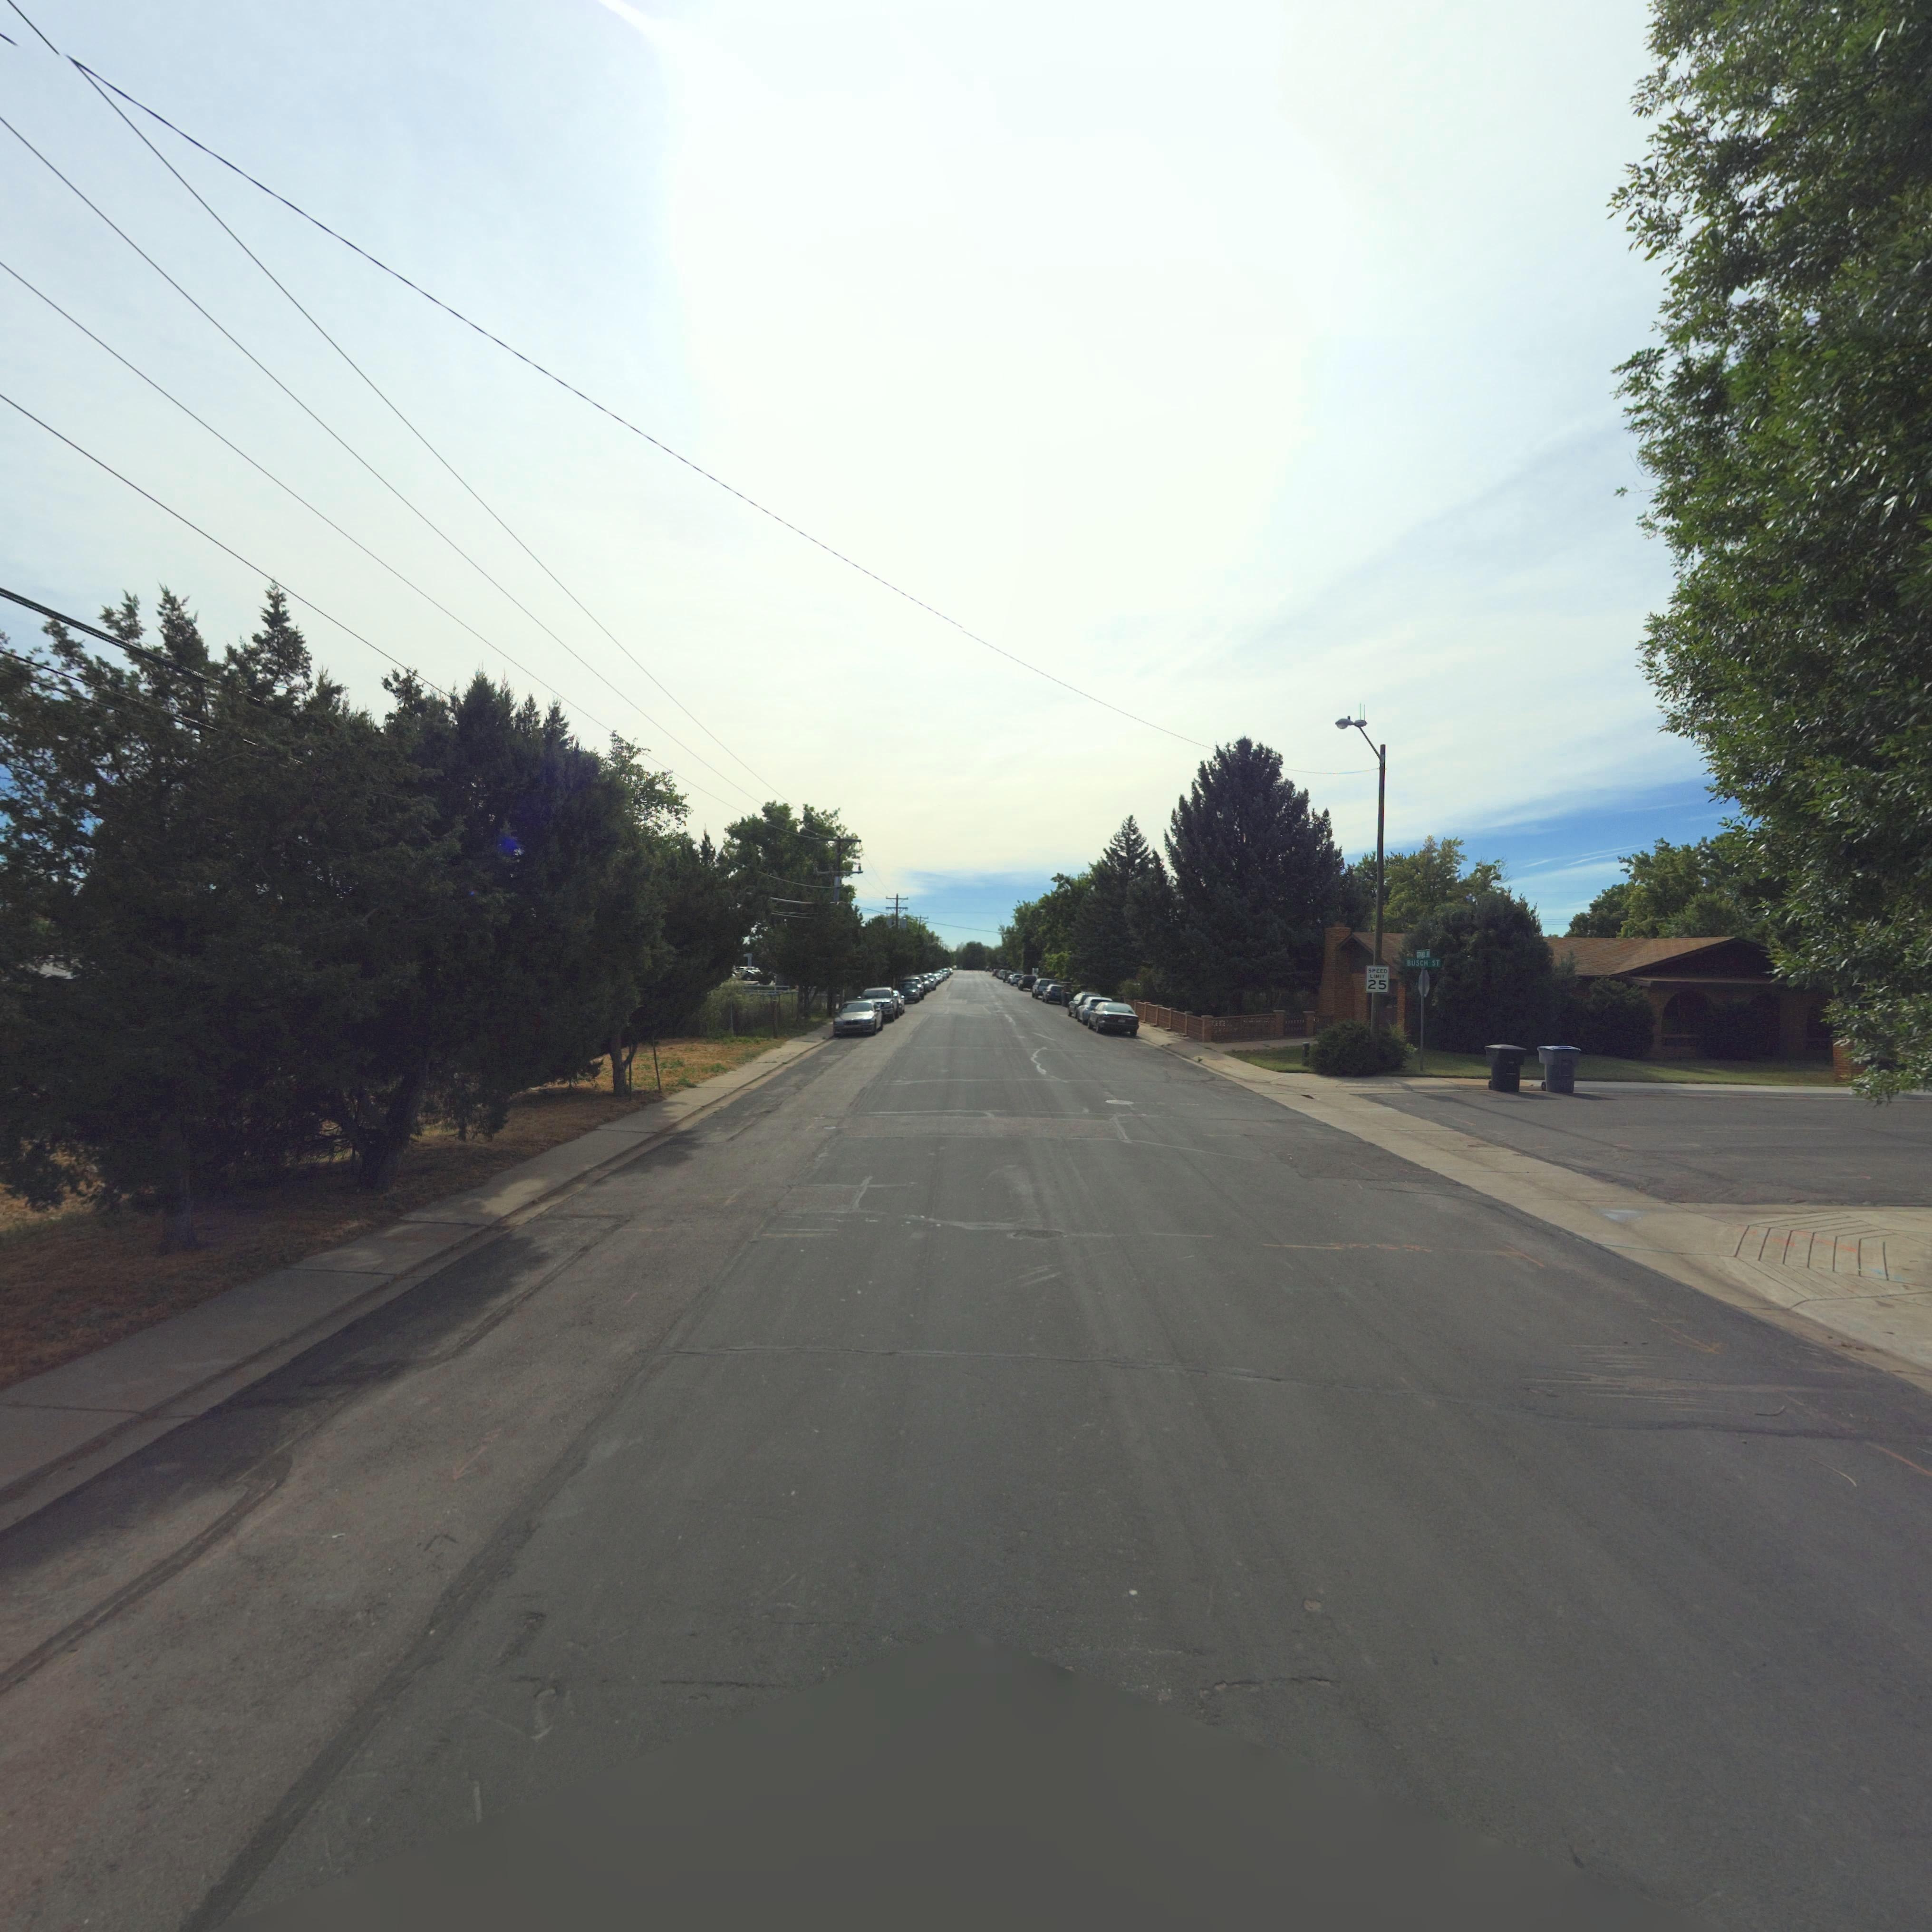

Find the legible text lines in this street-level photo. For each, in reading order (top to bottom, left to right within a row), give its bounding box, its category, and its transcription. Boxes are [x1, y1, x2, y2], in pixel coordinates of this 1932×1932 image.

[1407, 960, 1439, 966] StreetName: BUSCH ST